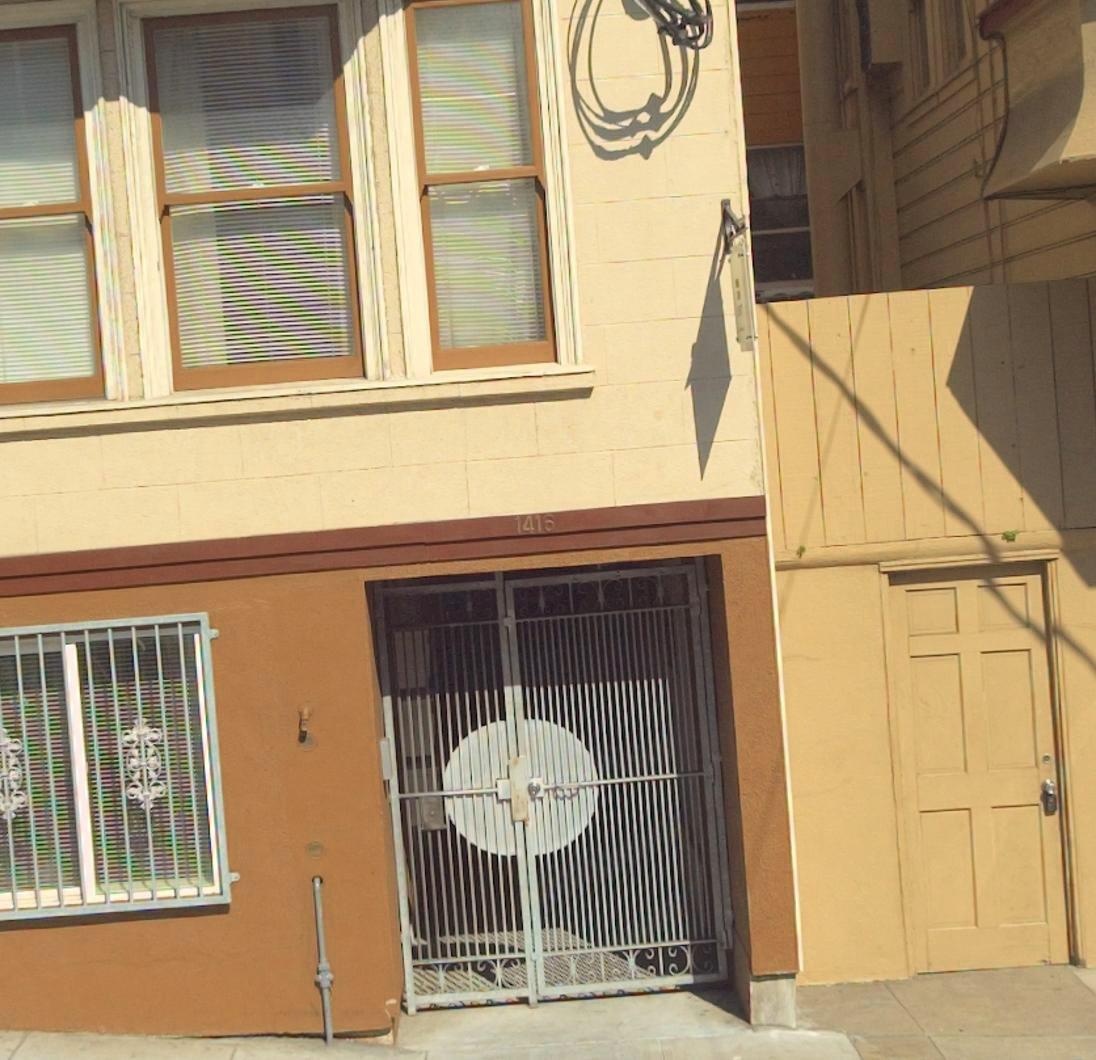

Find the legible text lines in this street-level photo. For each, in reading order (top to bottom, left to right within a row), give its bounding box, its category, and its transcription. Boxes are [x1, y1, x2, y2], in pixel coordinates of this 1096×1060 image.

[513, 512, 557, 536] StreetNumber: 1418